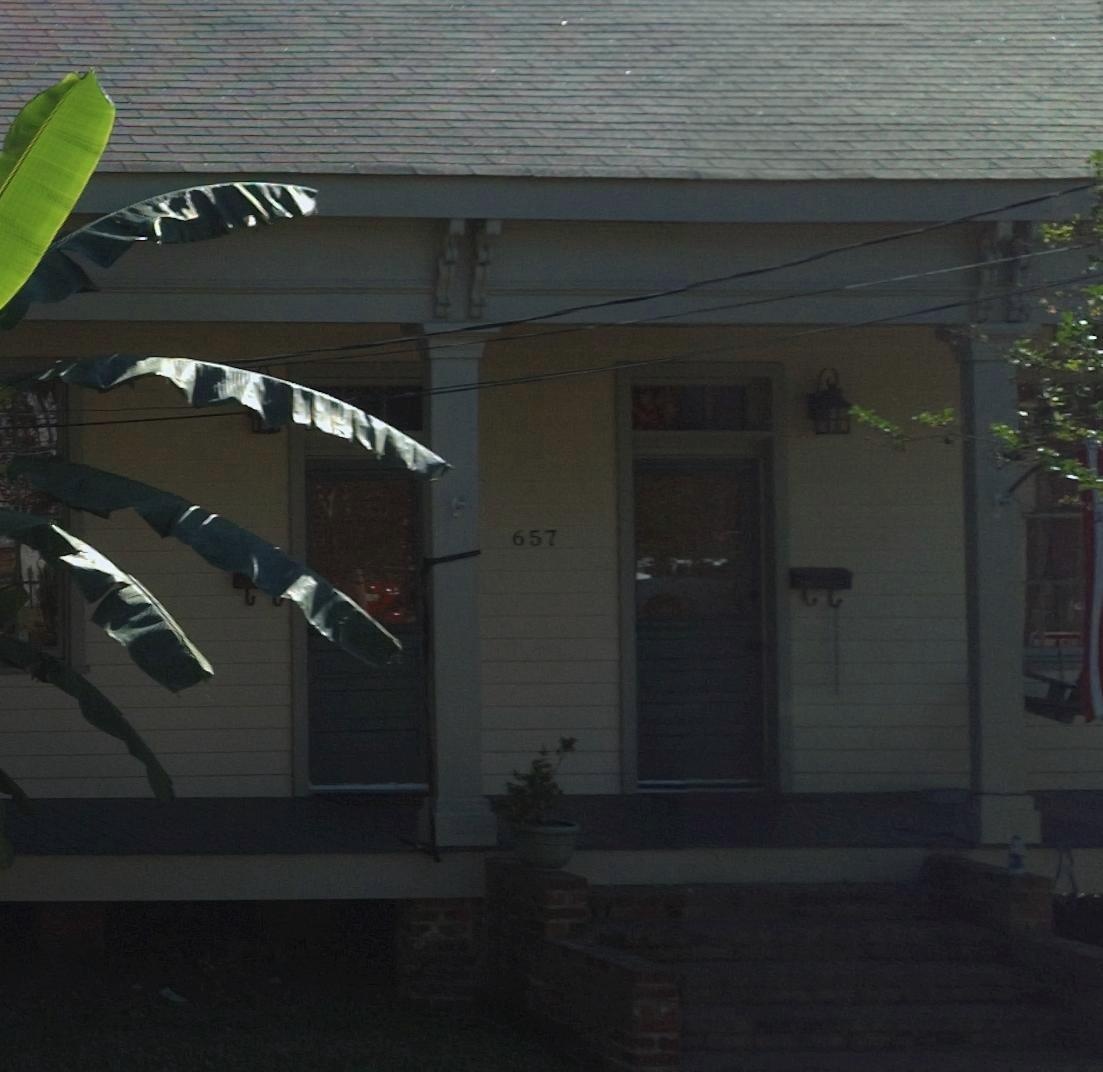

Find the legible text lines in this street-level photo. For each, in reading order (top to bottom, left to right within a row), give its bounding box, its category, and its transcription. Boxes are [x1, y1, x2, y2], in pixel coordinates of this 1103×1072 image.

[512, 527, 560, 548] StreetNumber: 657